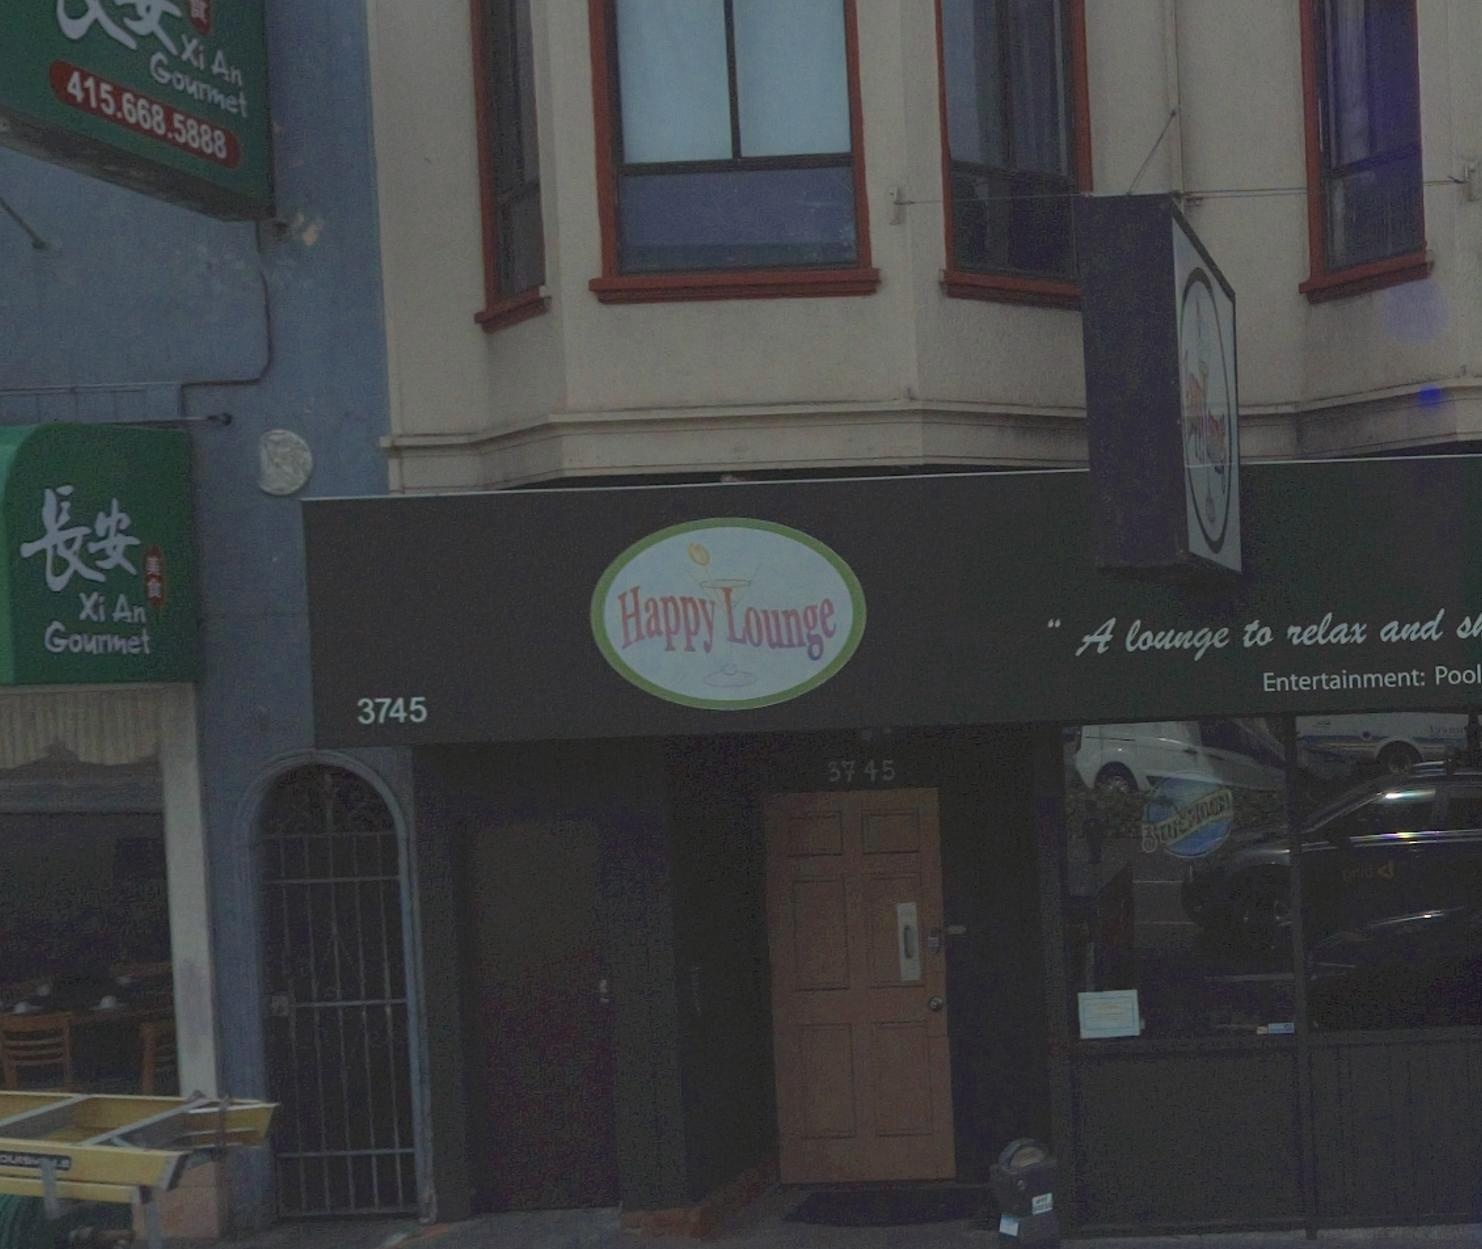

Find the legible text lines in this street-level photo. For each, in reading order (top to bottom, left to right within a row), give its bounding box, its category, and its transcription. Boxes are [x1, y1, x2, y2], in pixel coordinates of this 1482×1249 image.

[62, 67, 230, 165] None: 415.668.5888
[145, 48, 251, 125] BusinessName: Gourmet
[175, 30, 245, 92] BusinessName: Xi An
[38, 614, 156, 658] BusinessName: Gourmet
[73, 583, 152, 628] BusinessName: Xi An
[615, 583, 843, 665] BusinessName: Happy Lounge
[1070, 603, 1474, 664] None: A lounge to relax and s
[1259, 661, 1482, 693] None: Entertainment: Pool
[351, 692, 431, 728] StreetNumber: 3745
[825, 757, 899, 787] StreetNumber: 3745
[1135, 788, 1232, 858] None: BLUE MOON
[1339, 861, 1376, 886] None: **id